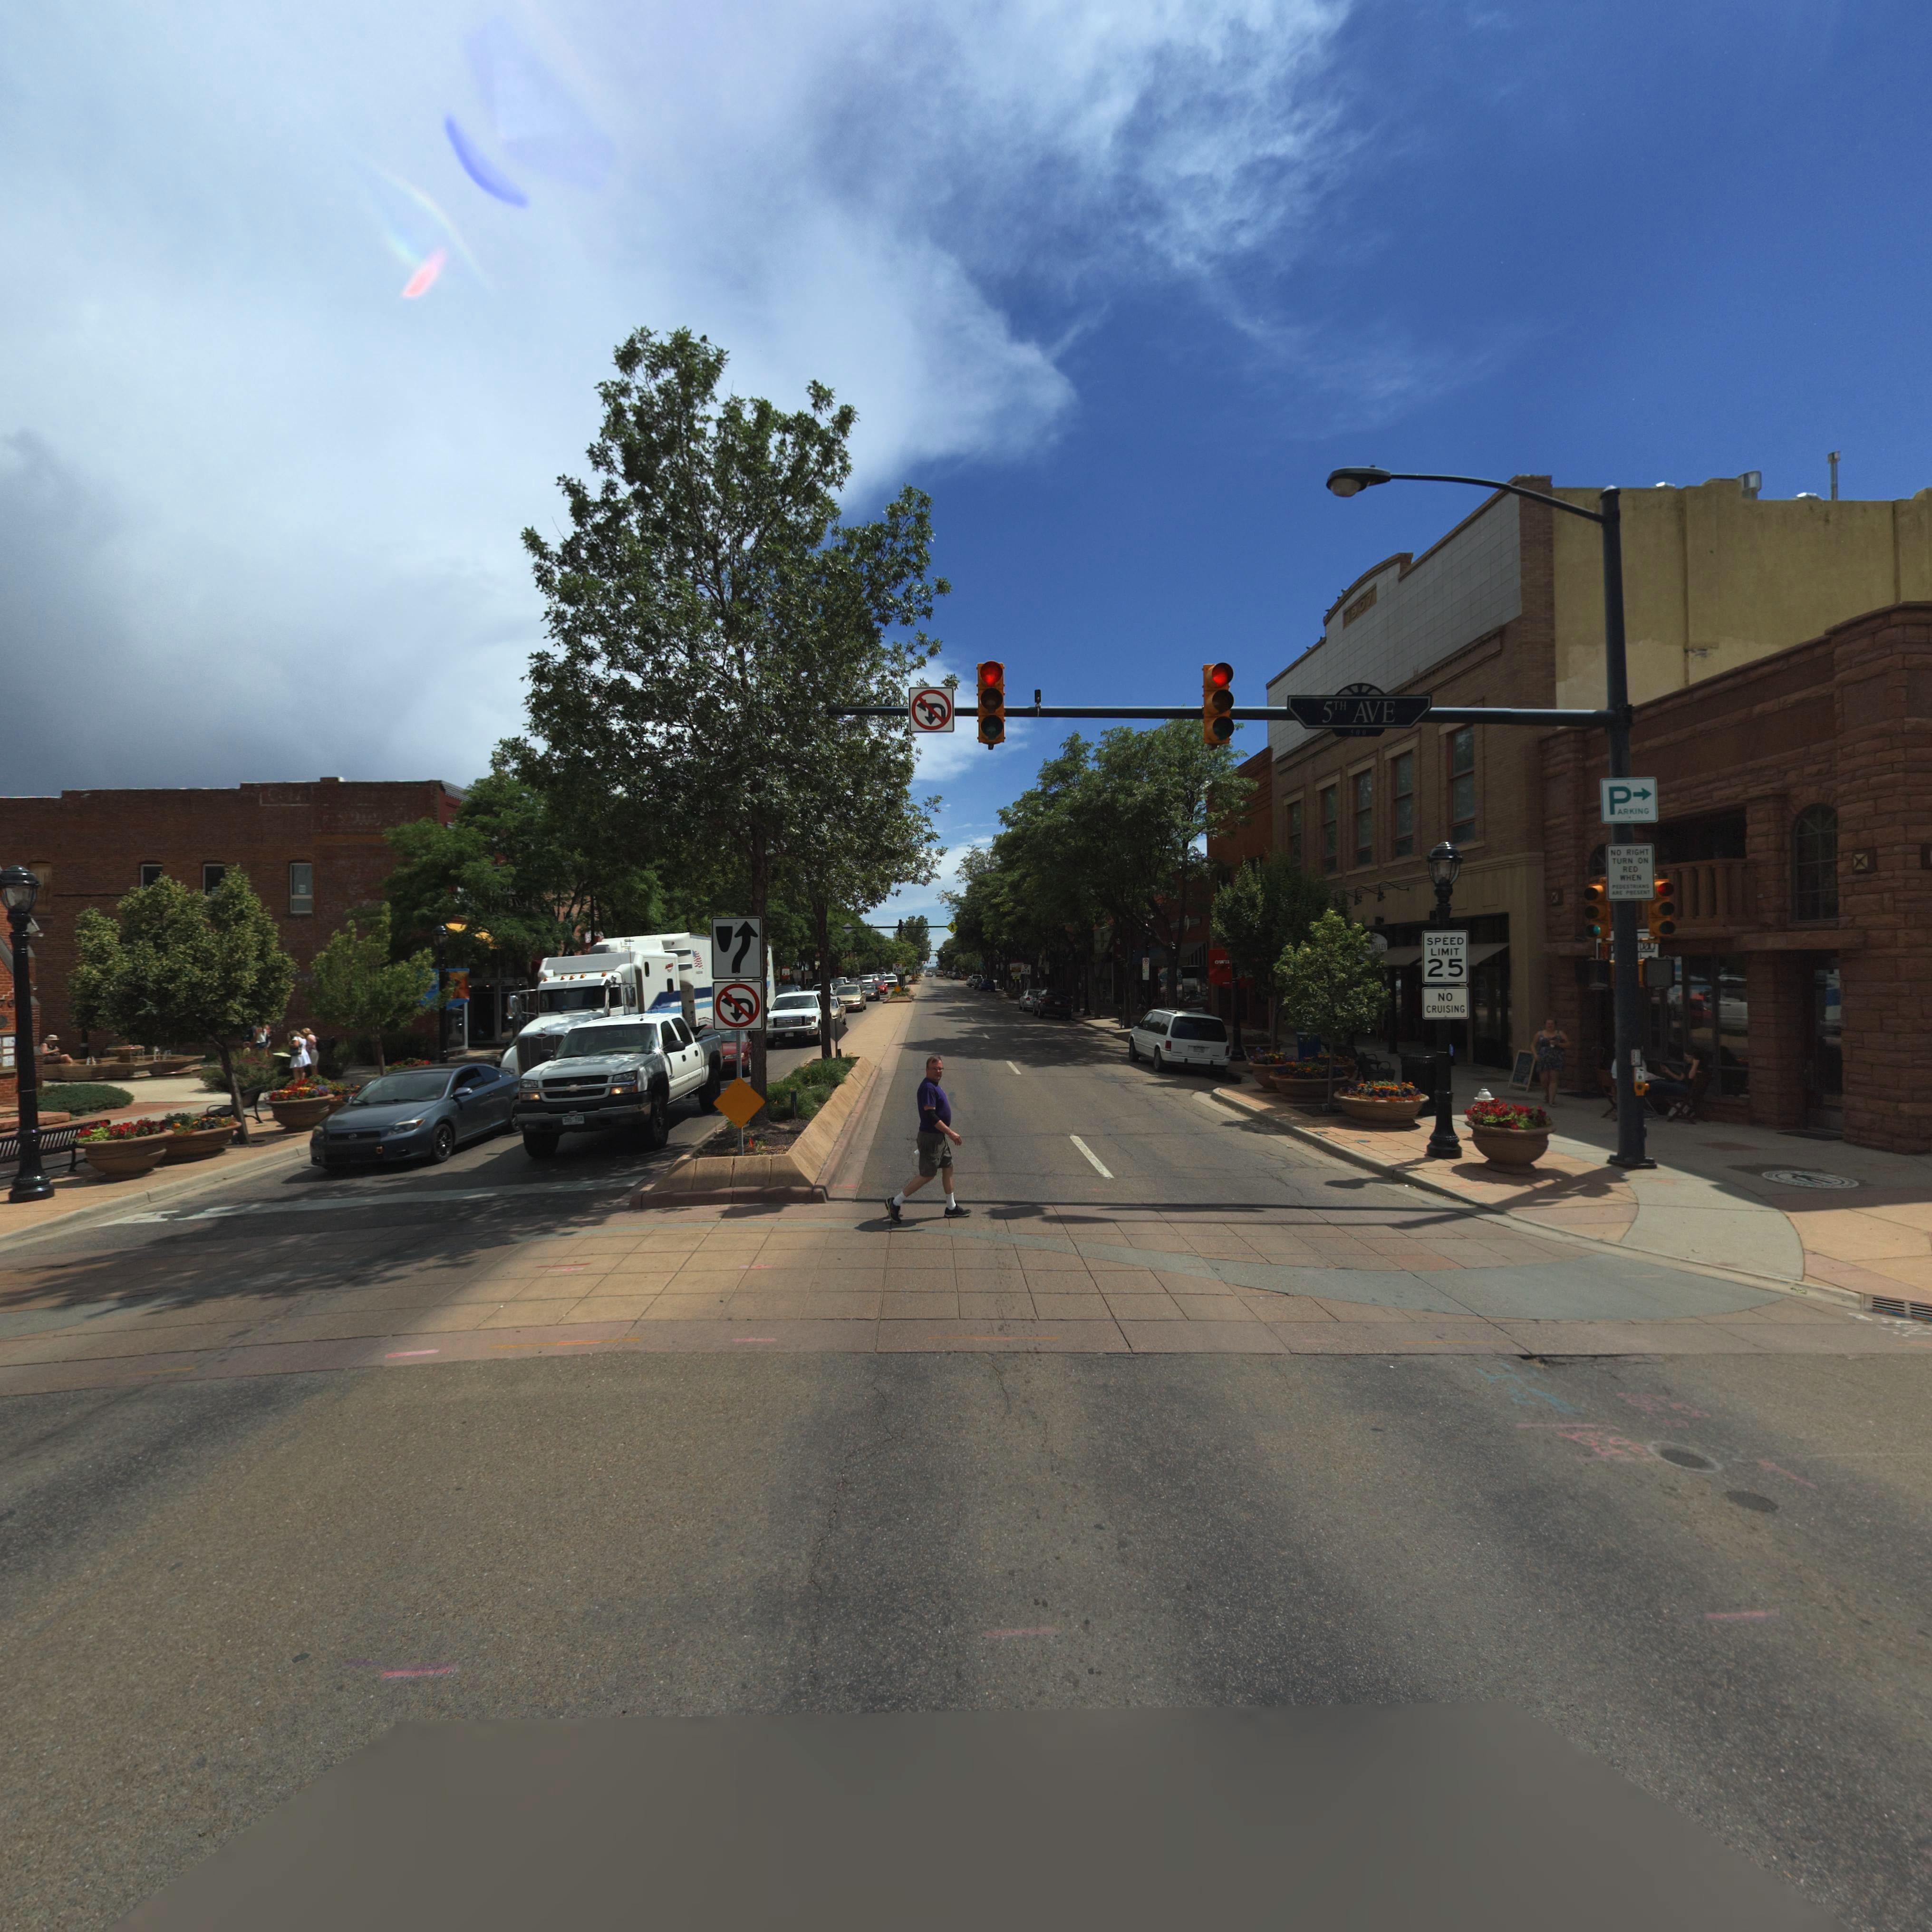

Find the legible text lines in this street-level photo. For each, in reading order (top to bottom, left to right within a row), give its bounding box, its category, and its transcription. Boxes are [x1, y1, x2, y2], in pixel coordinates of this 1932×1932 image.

[1321, 700, 1395, 724] StreetName: 5TH AVE
[1350, 729, 1366, 735] StreetNumber: 500
[1370, 943, 1386, 950] BusinessName: VALLEY
[1214, 959, 1230, 964] BusinessName: own